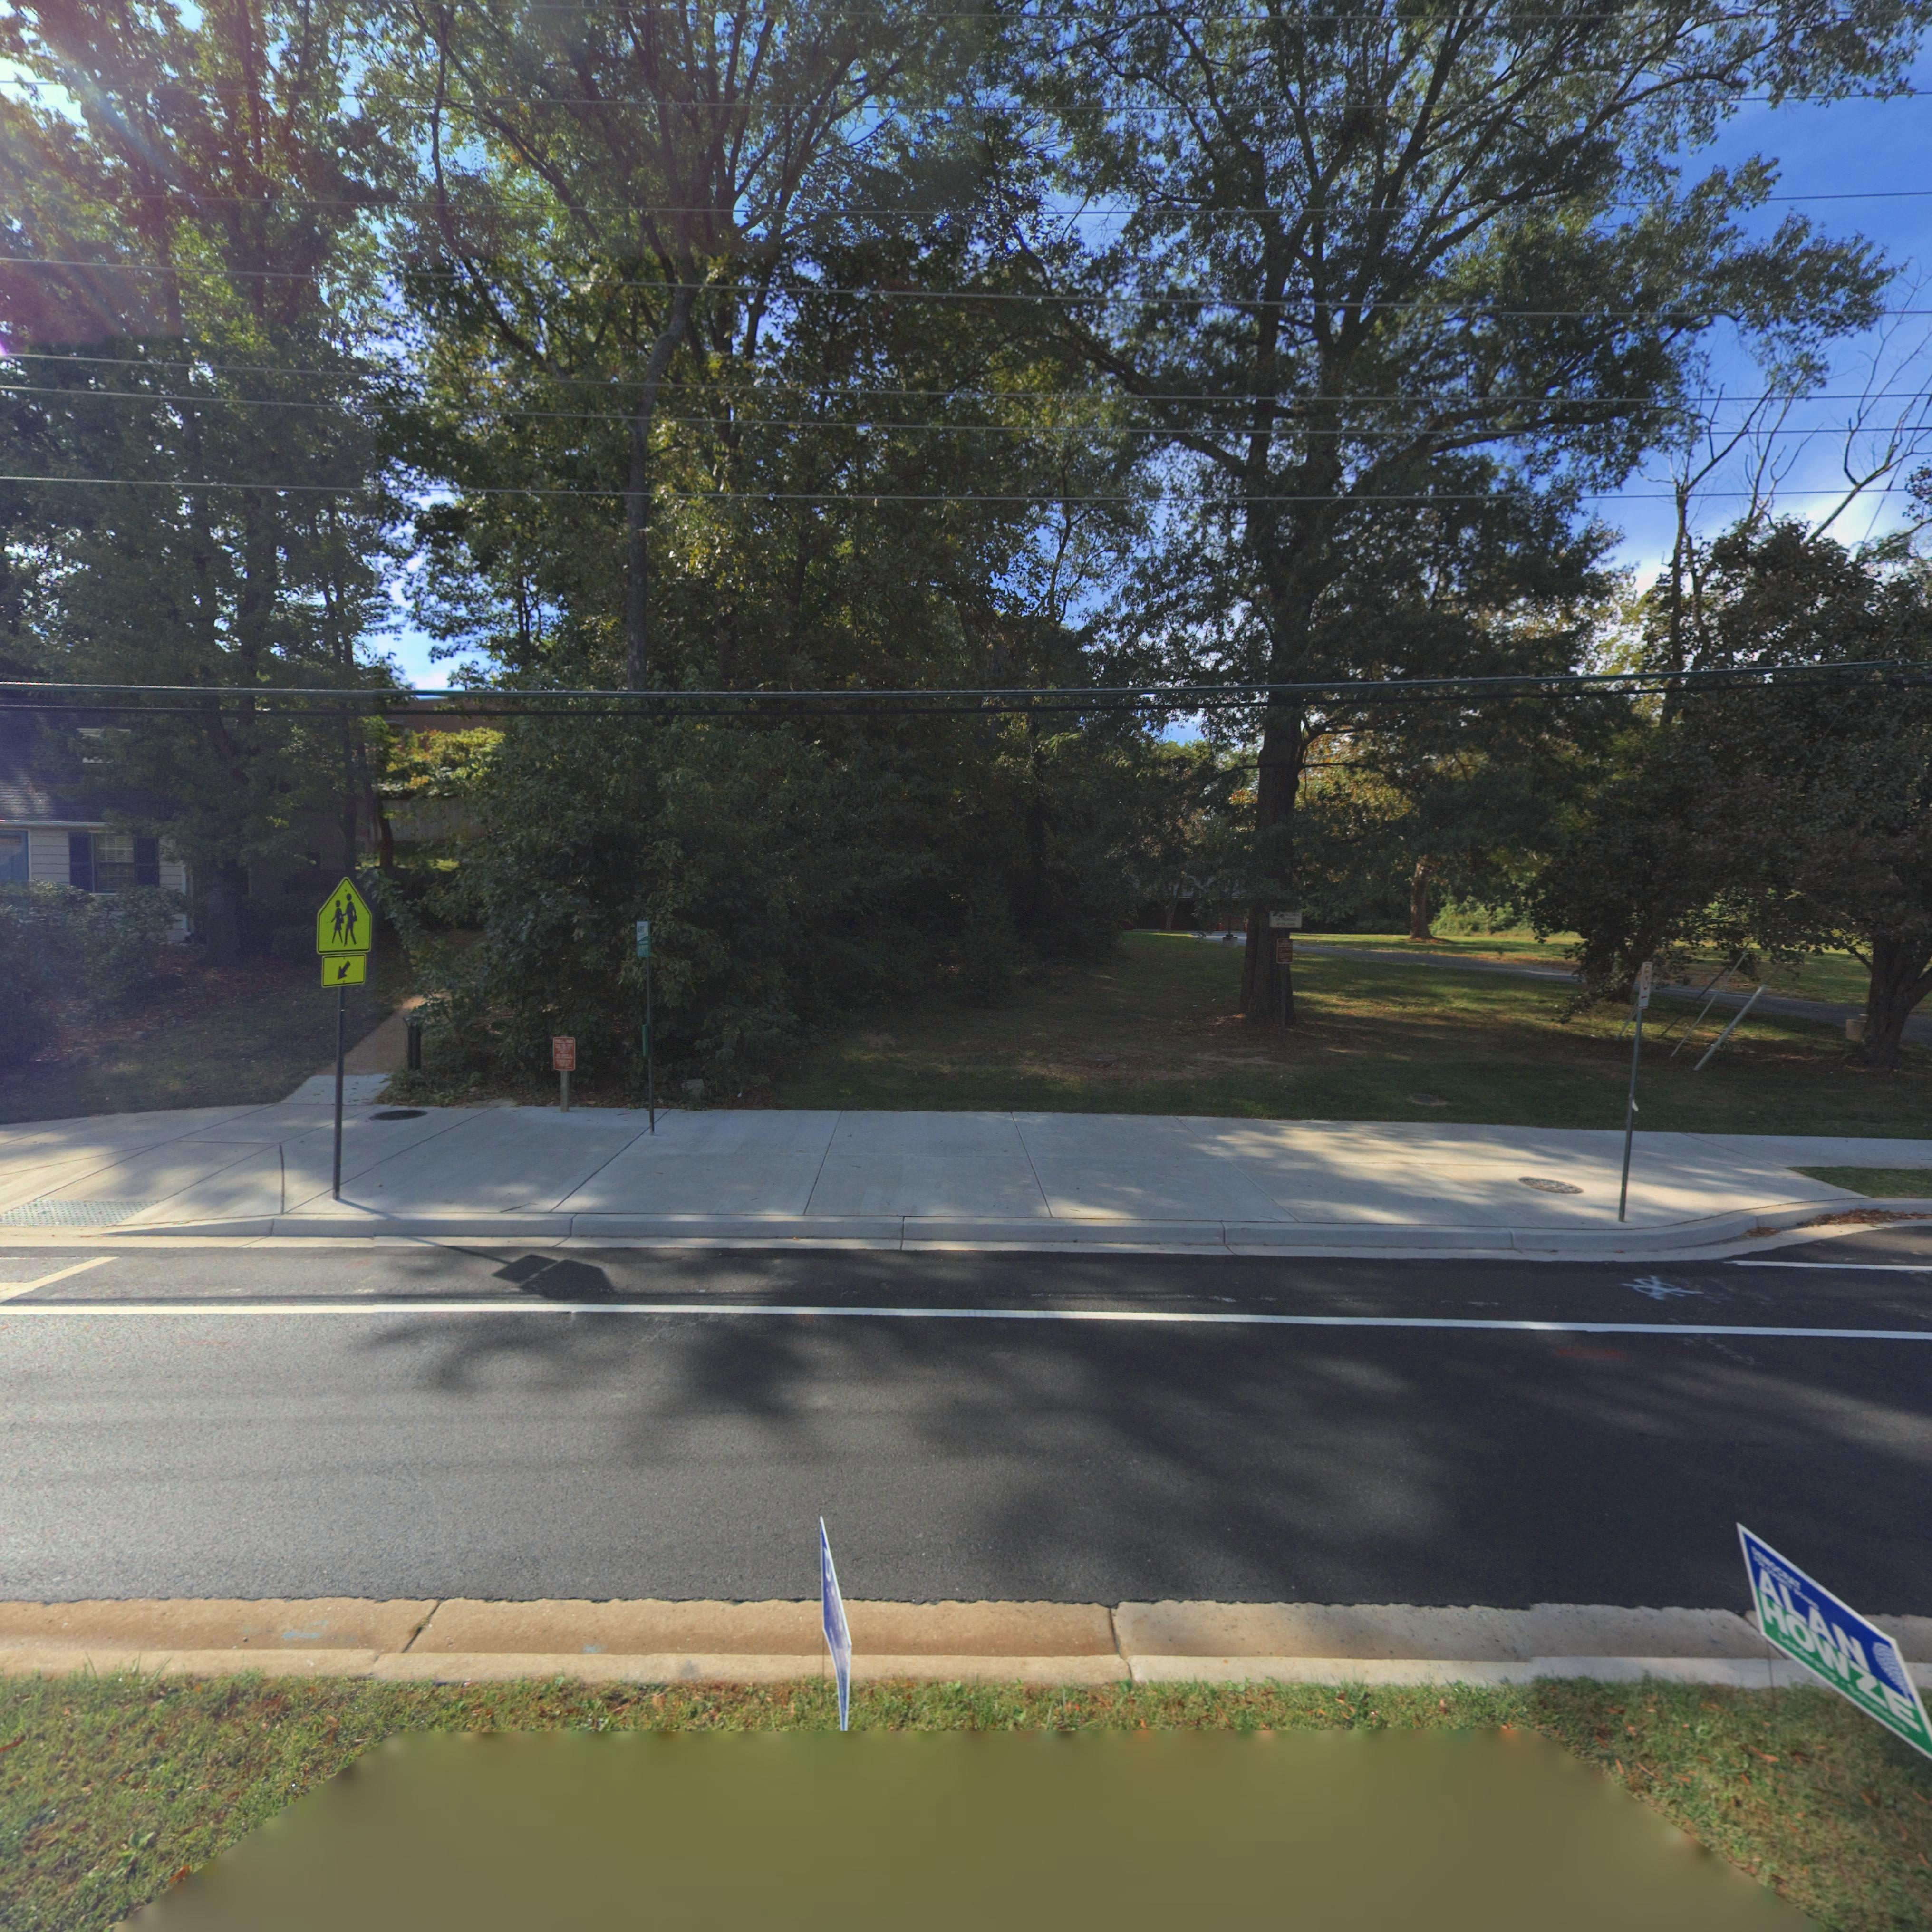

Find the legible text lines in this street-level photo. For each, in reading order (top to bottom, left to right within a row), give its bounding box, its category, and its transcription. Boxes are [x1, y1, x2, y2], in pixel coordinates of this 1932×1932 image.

[1755, 1562, 1874, 1677] None: ALAN
[1756, 1587, 1928, 1738] None: HOWZE